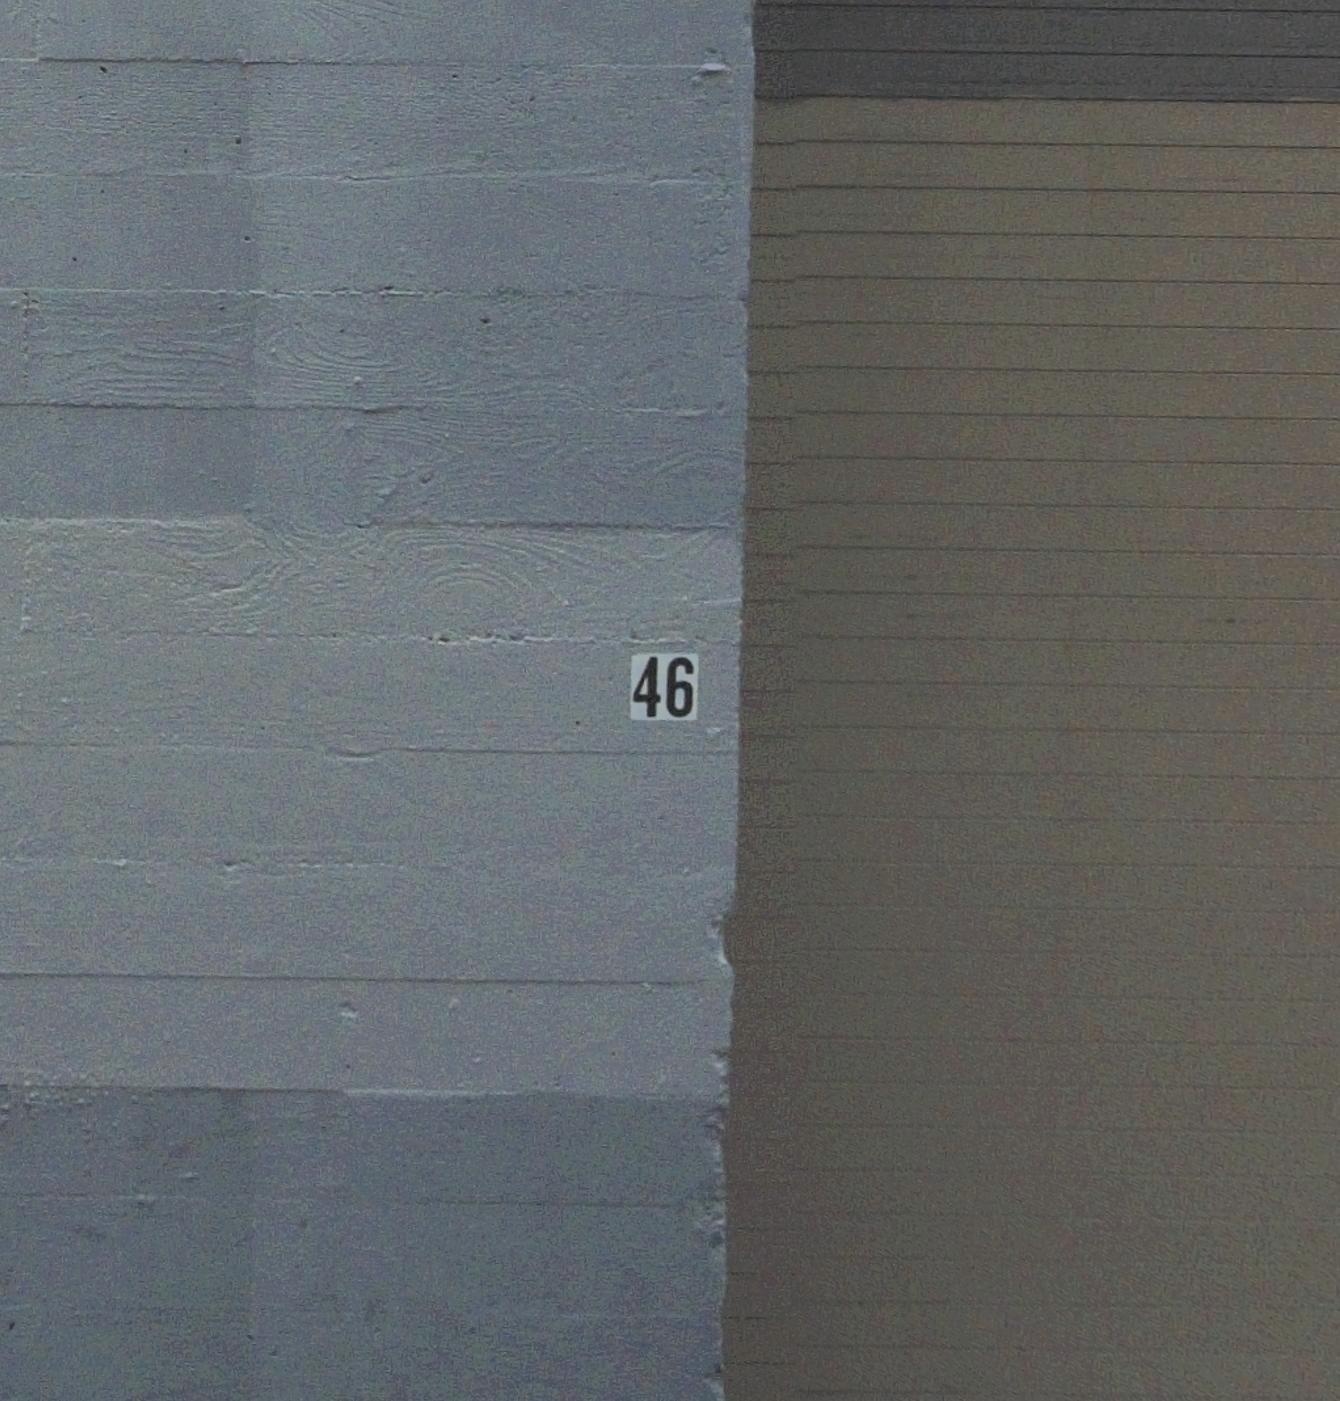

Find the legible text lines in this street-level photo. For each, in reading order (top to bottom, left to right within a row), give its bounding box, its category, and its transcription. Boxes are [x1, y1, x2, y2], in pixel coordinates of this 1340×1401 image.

[630, 654, 696, 720] StreetNumber: 46